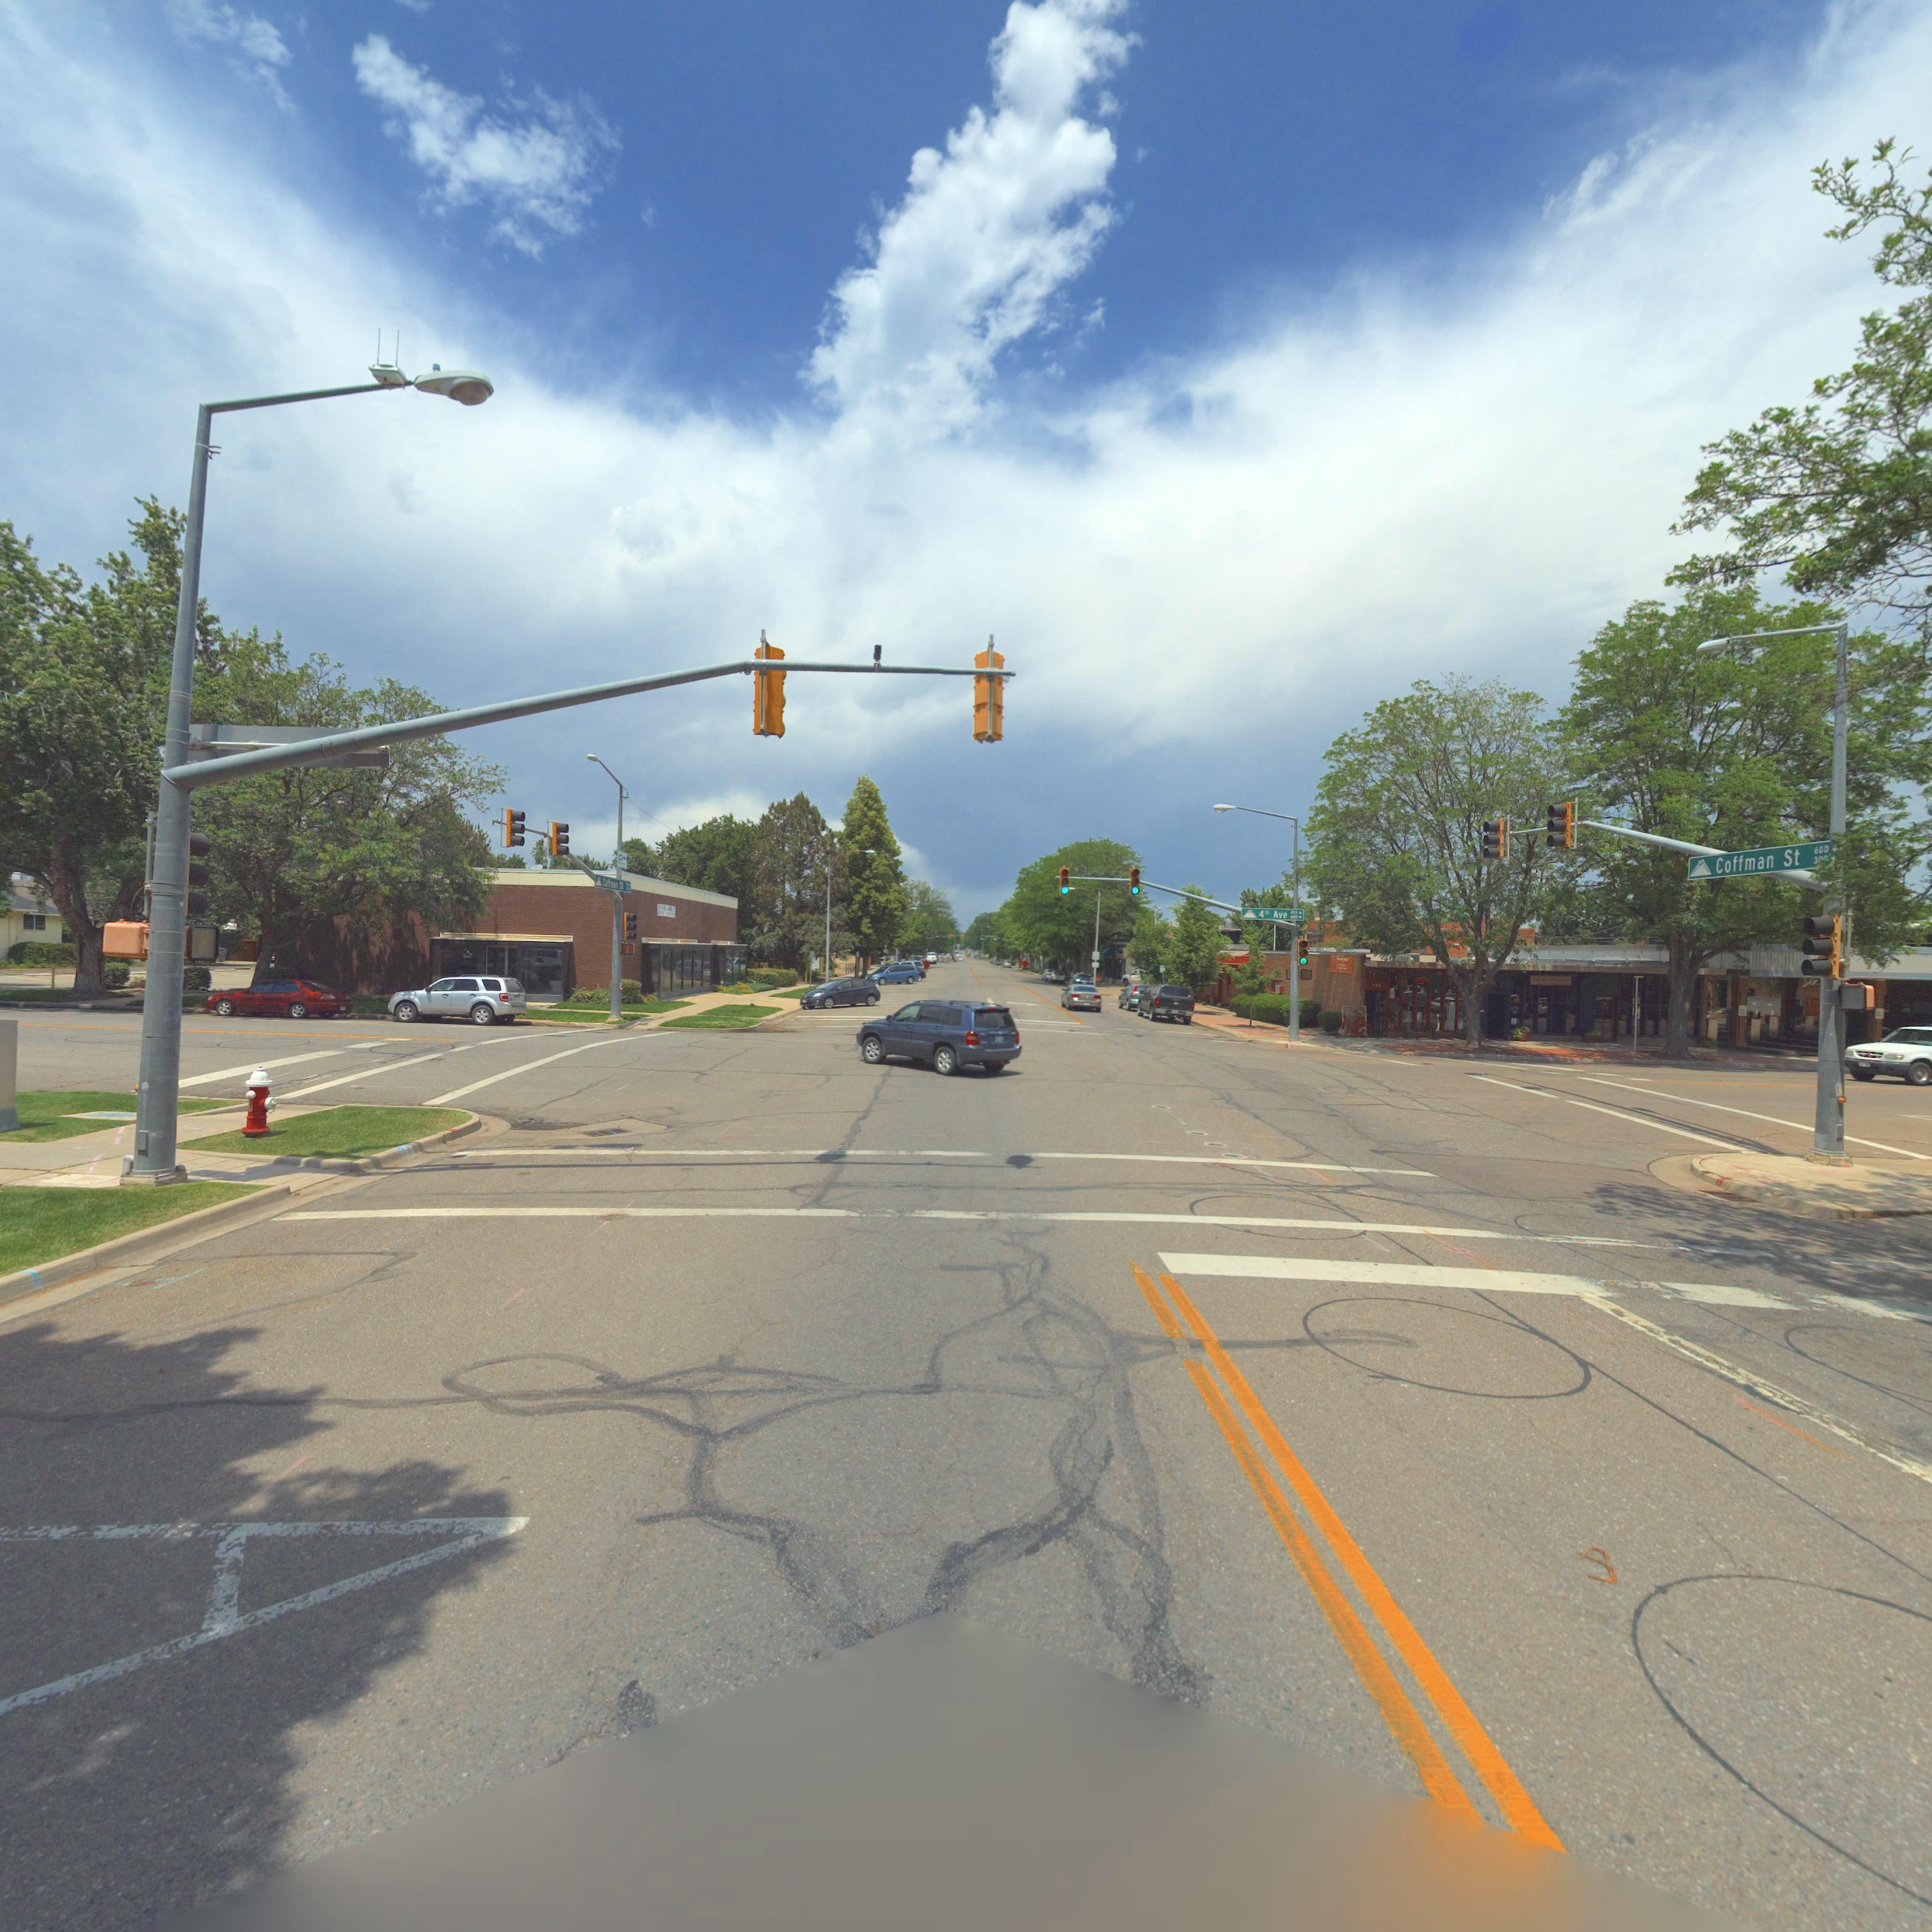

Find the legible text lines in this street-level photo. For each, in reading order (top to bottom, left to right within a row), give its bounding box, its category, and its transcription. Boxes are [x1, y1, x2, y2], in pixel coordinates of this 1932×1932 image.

[1813, 844, 1830, 855] StreetNumberRange: 600
[1715, 848, 1800, 874] StreetName: Coffman St
[1813, 854, 1828, 864] StreetNumberRange: 30*
[602, 878, 624, 889] StreetName: Coffman St
[1258, 910, 1287, 918] StreetName: 4** Ave
[1290, 910, 1298, 914] StreetNumberRange: *00
[1290, 915, 1302, 919] StreetNumberRange: *00->
[1372, 983, 1381, 987] StreetNumber: **8
[1433, 989, 1439, 993] BusinessName: o